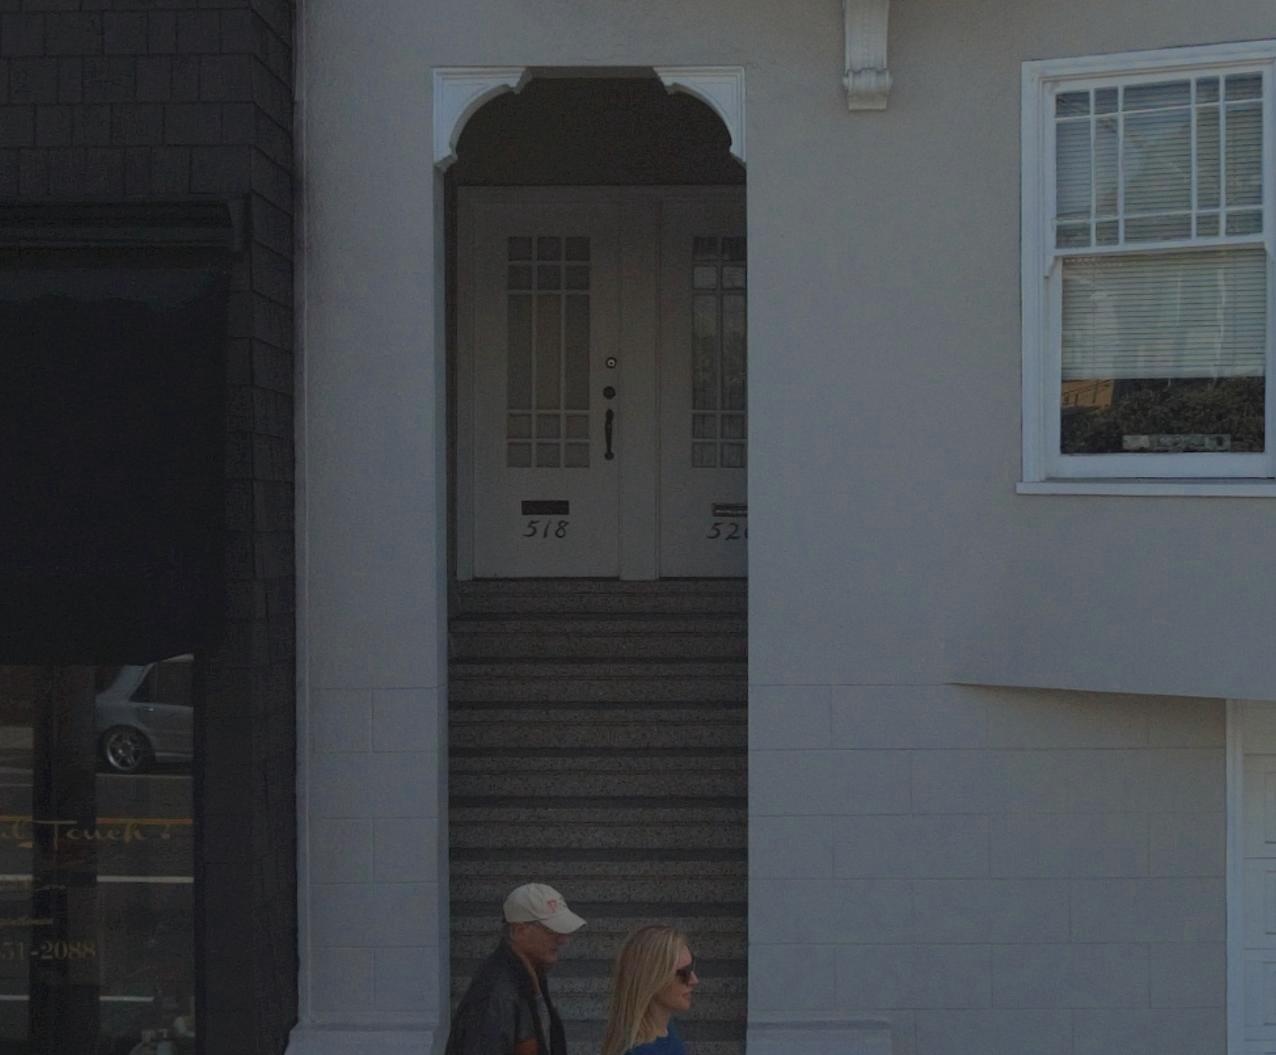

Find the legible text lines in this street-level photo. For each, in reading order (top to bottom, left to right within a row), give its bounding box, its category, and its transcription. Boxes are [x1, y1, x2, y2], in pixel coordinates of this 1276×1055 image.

[521, 517, 571, 541] StreetNumber: 518
[704, 519, 742, 542] StreetNumber: 52
[43, 814, 151, 856] None: Touch
[1, 936, 100, 964] None: 31-2088